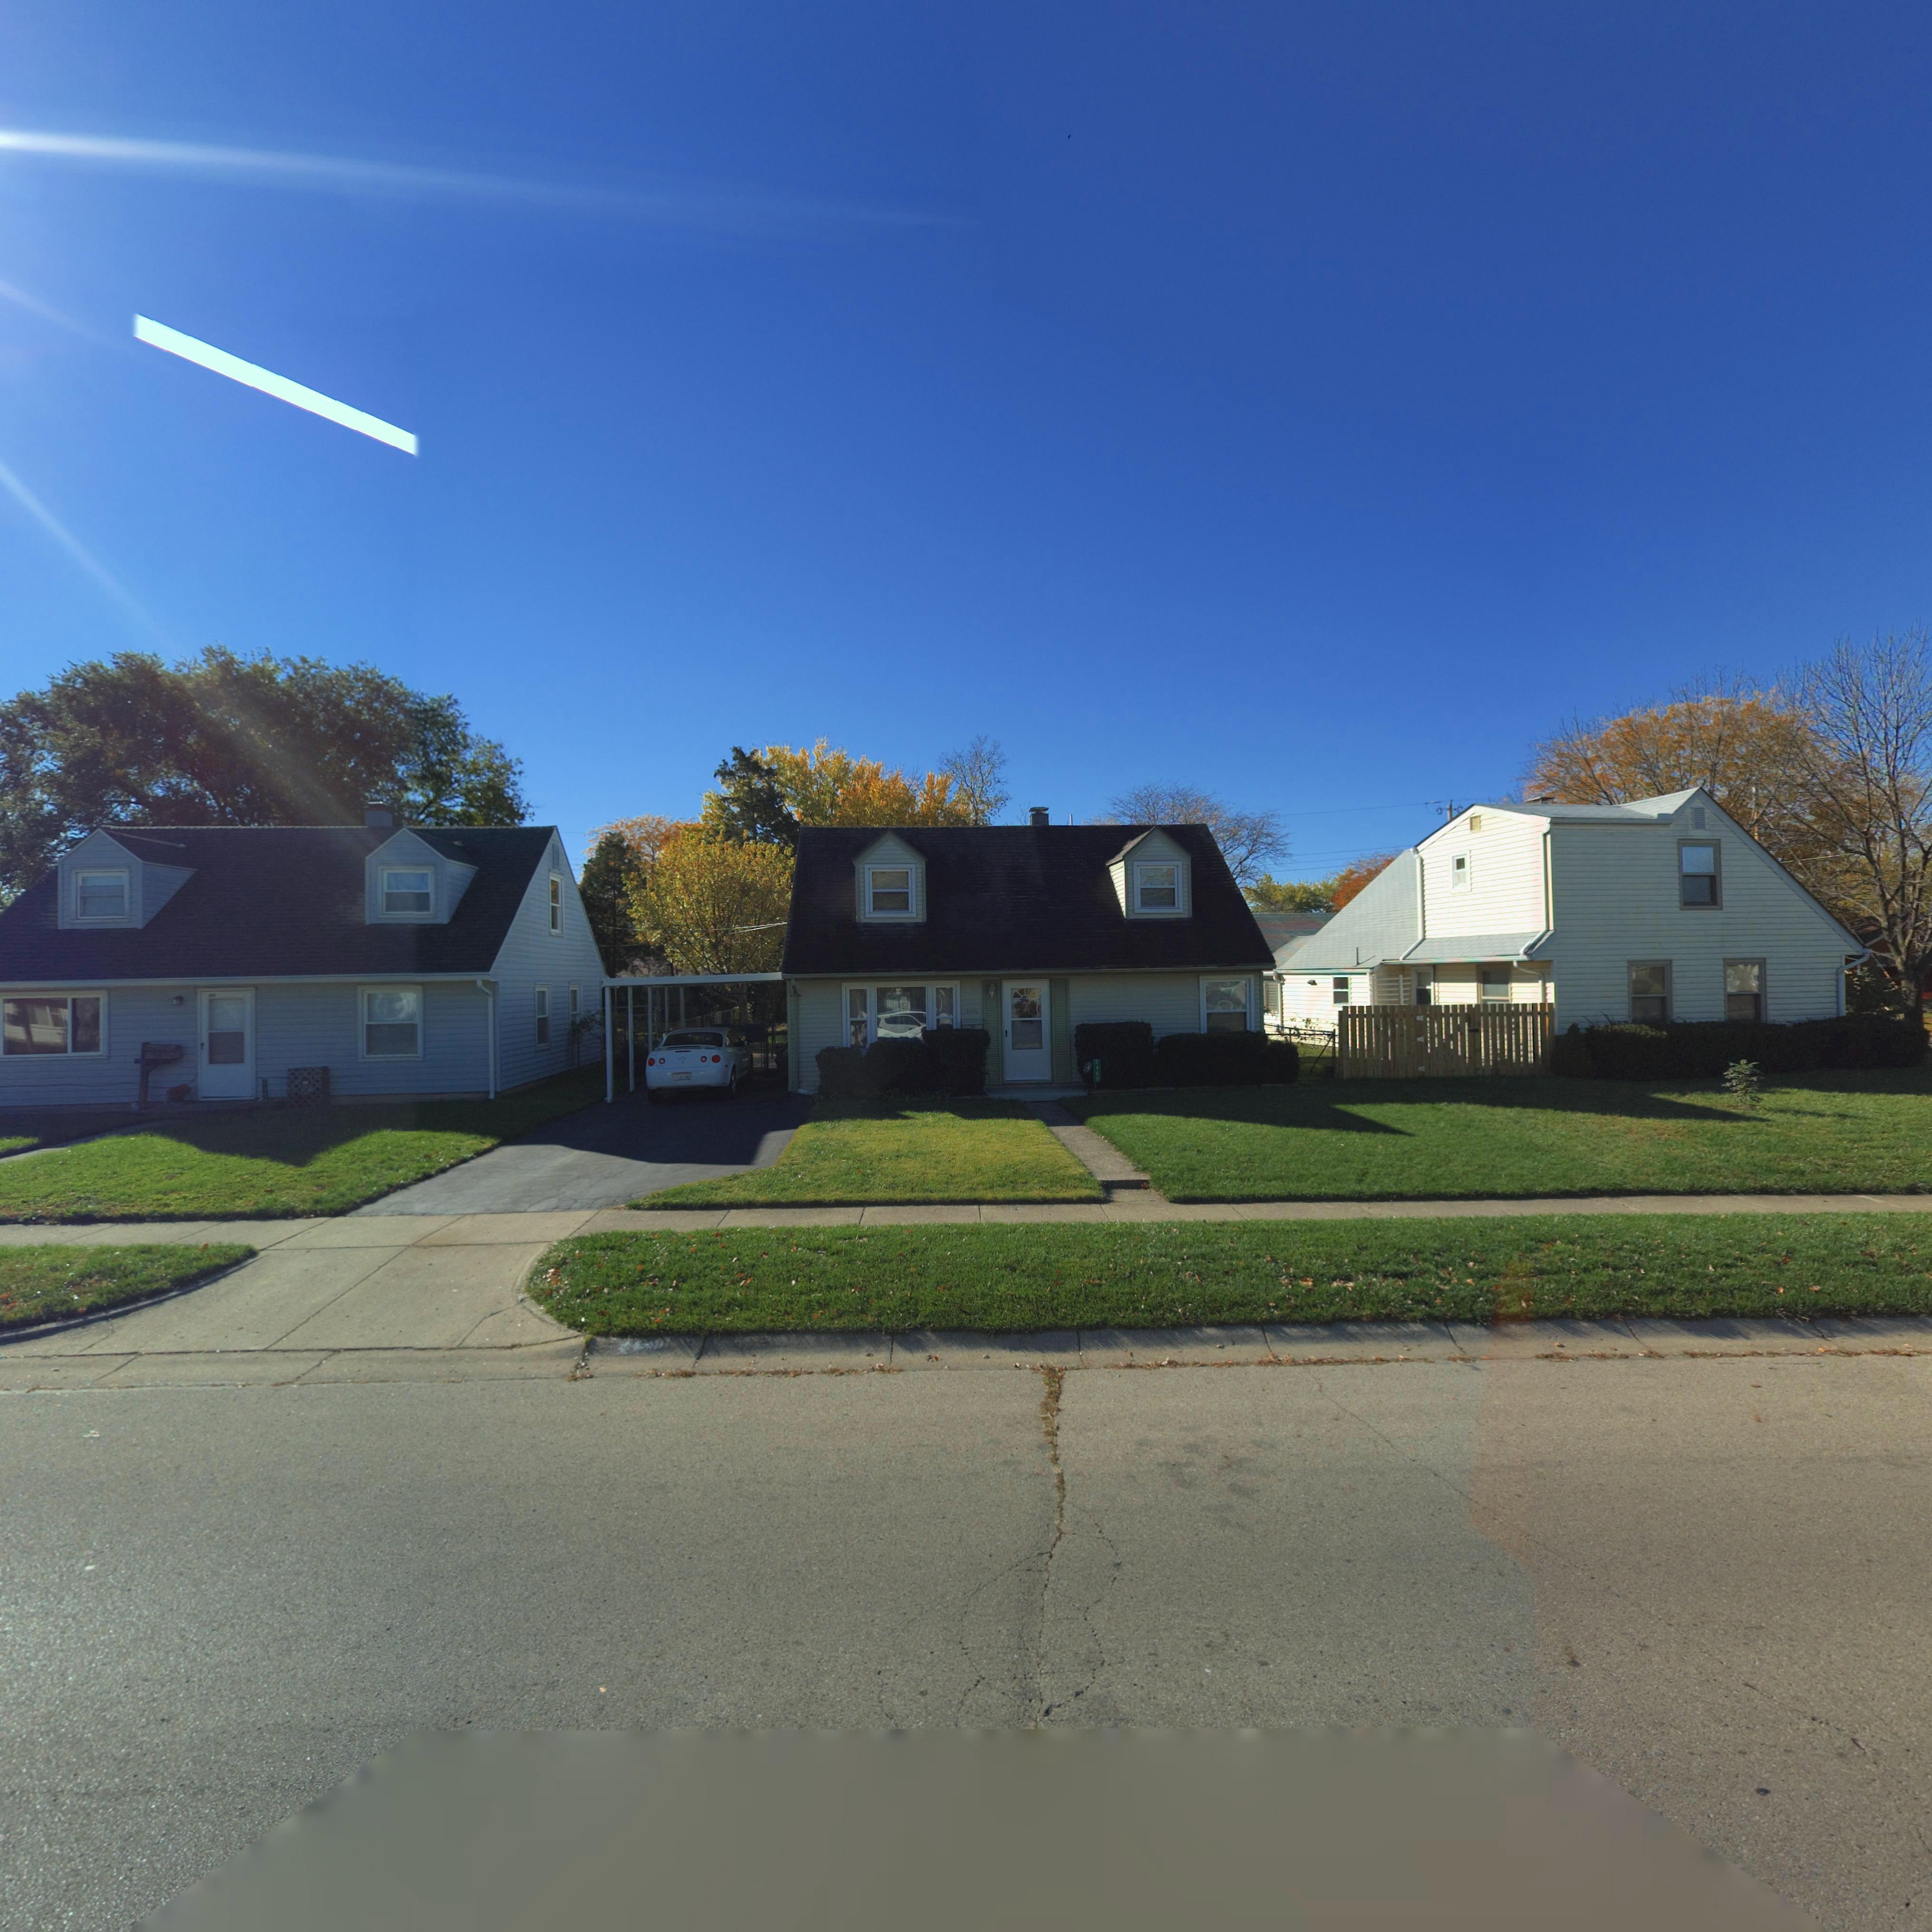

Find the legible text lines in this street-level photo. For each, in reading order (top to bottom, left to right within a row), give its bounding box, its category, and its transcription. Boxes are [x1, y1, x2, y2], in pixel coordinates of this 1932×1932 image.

[965, 1008, 978, 1014] StreetNumber: 24*0
[1094, 1059, 1100, 1082] StreetNumber: 2460